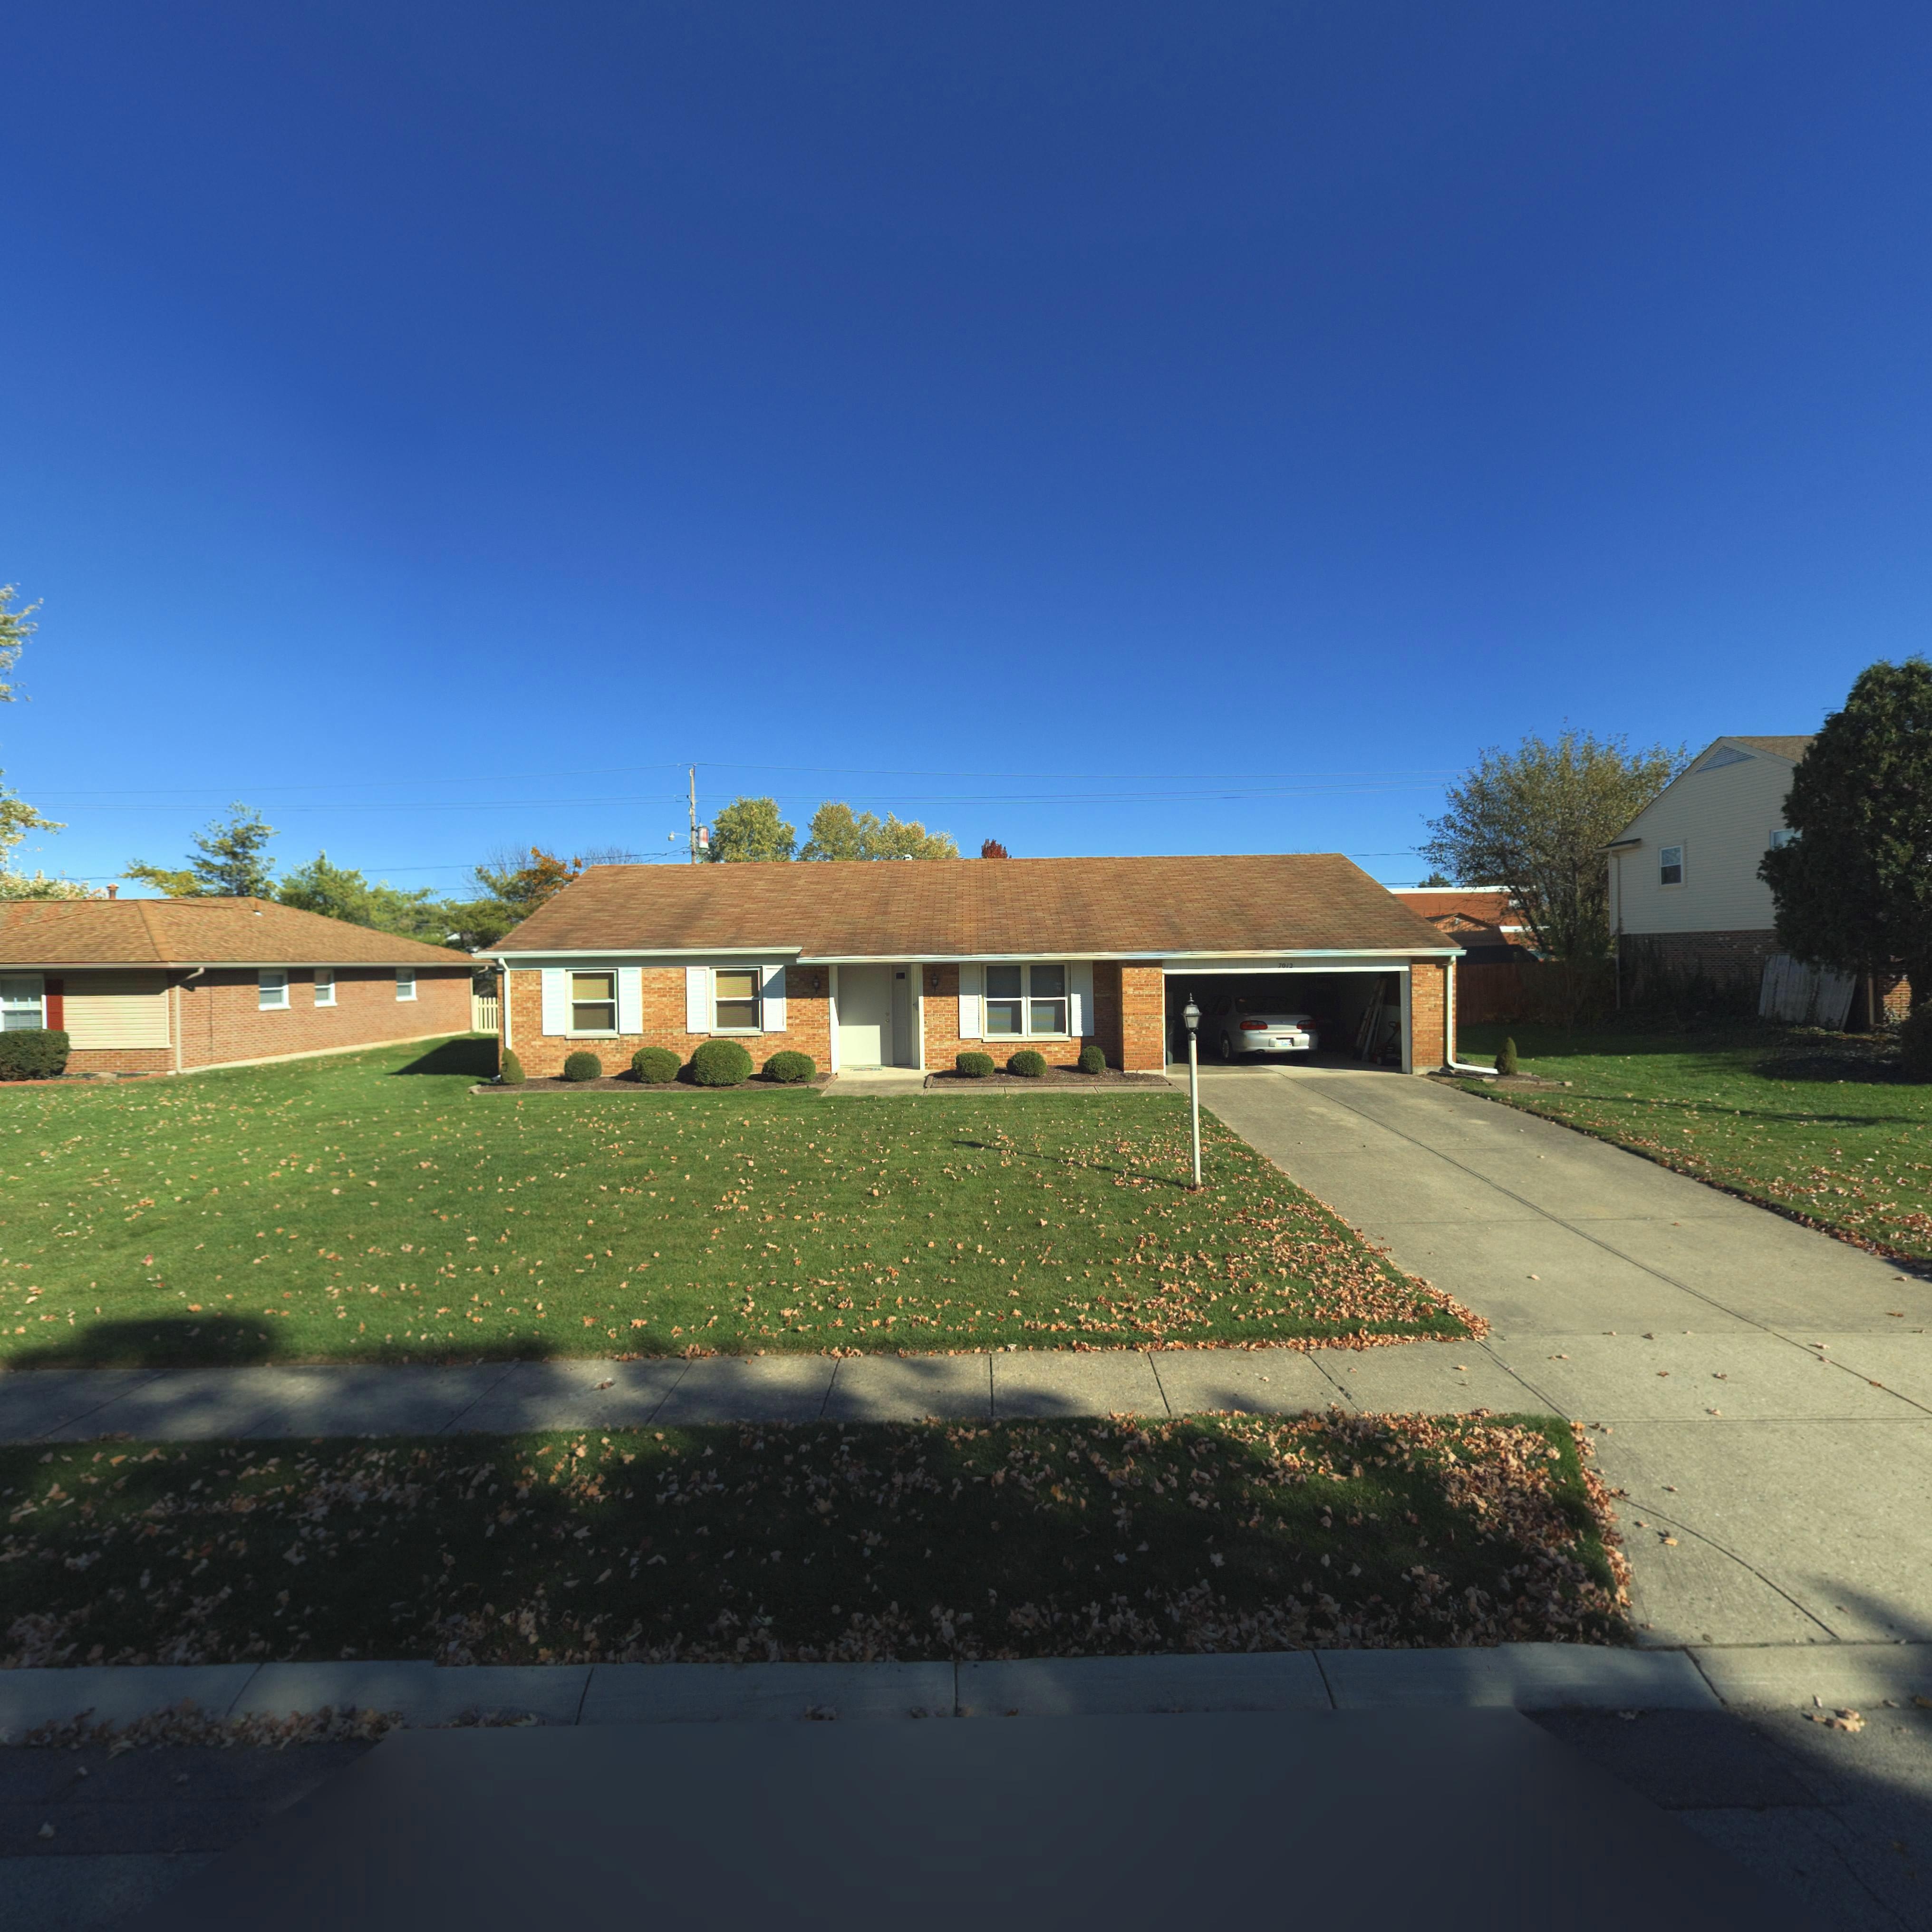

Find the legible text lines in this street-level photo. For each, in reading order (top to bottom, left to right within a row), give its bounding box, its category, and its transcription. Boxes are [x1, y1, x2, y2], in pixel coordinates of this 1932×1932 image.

[1277, 963, 1294, 968] StreetNumber: 7012